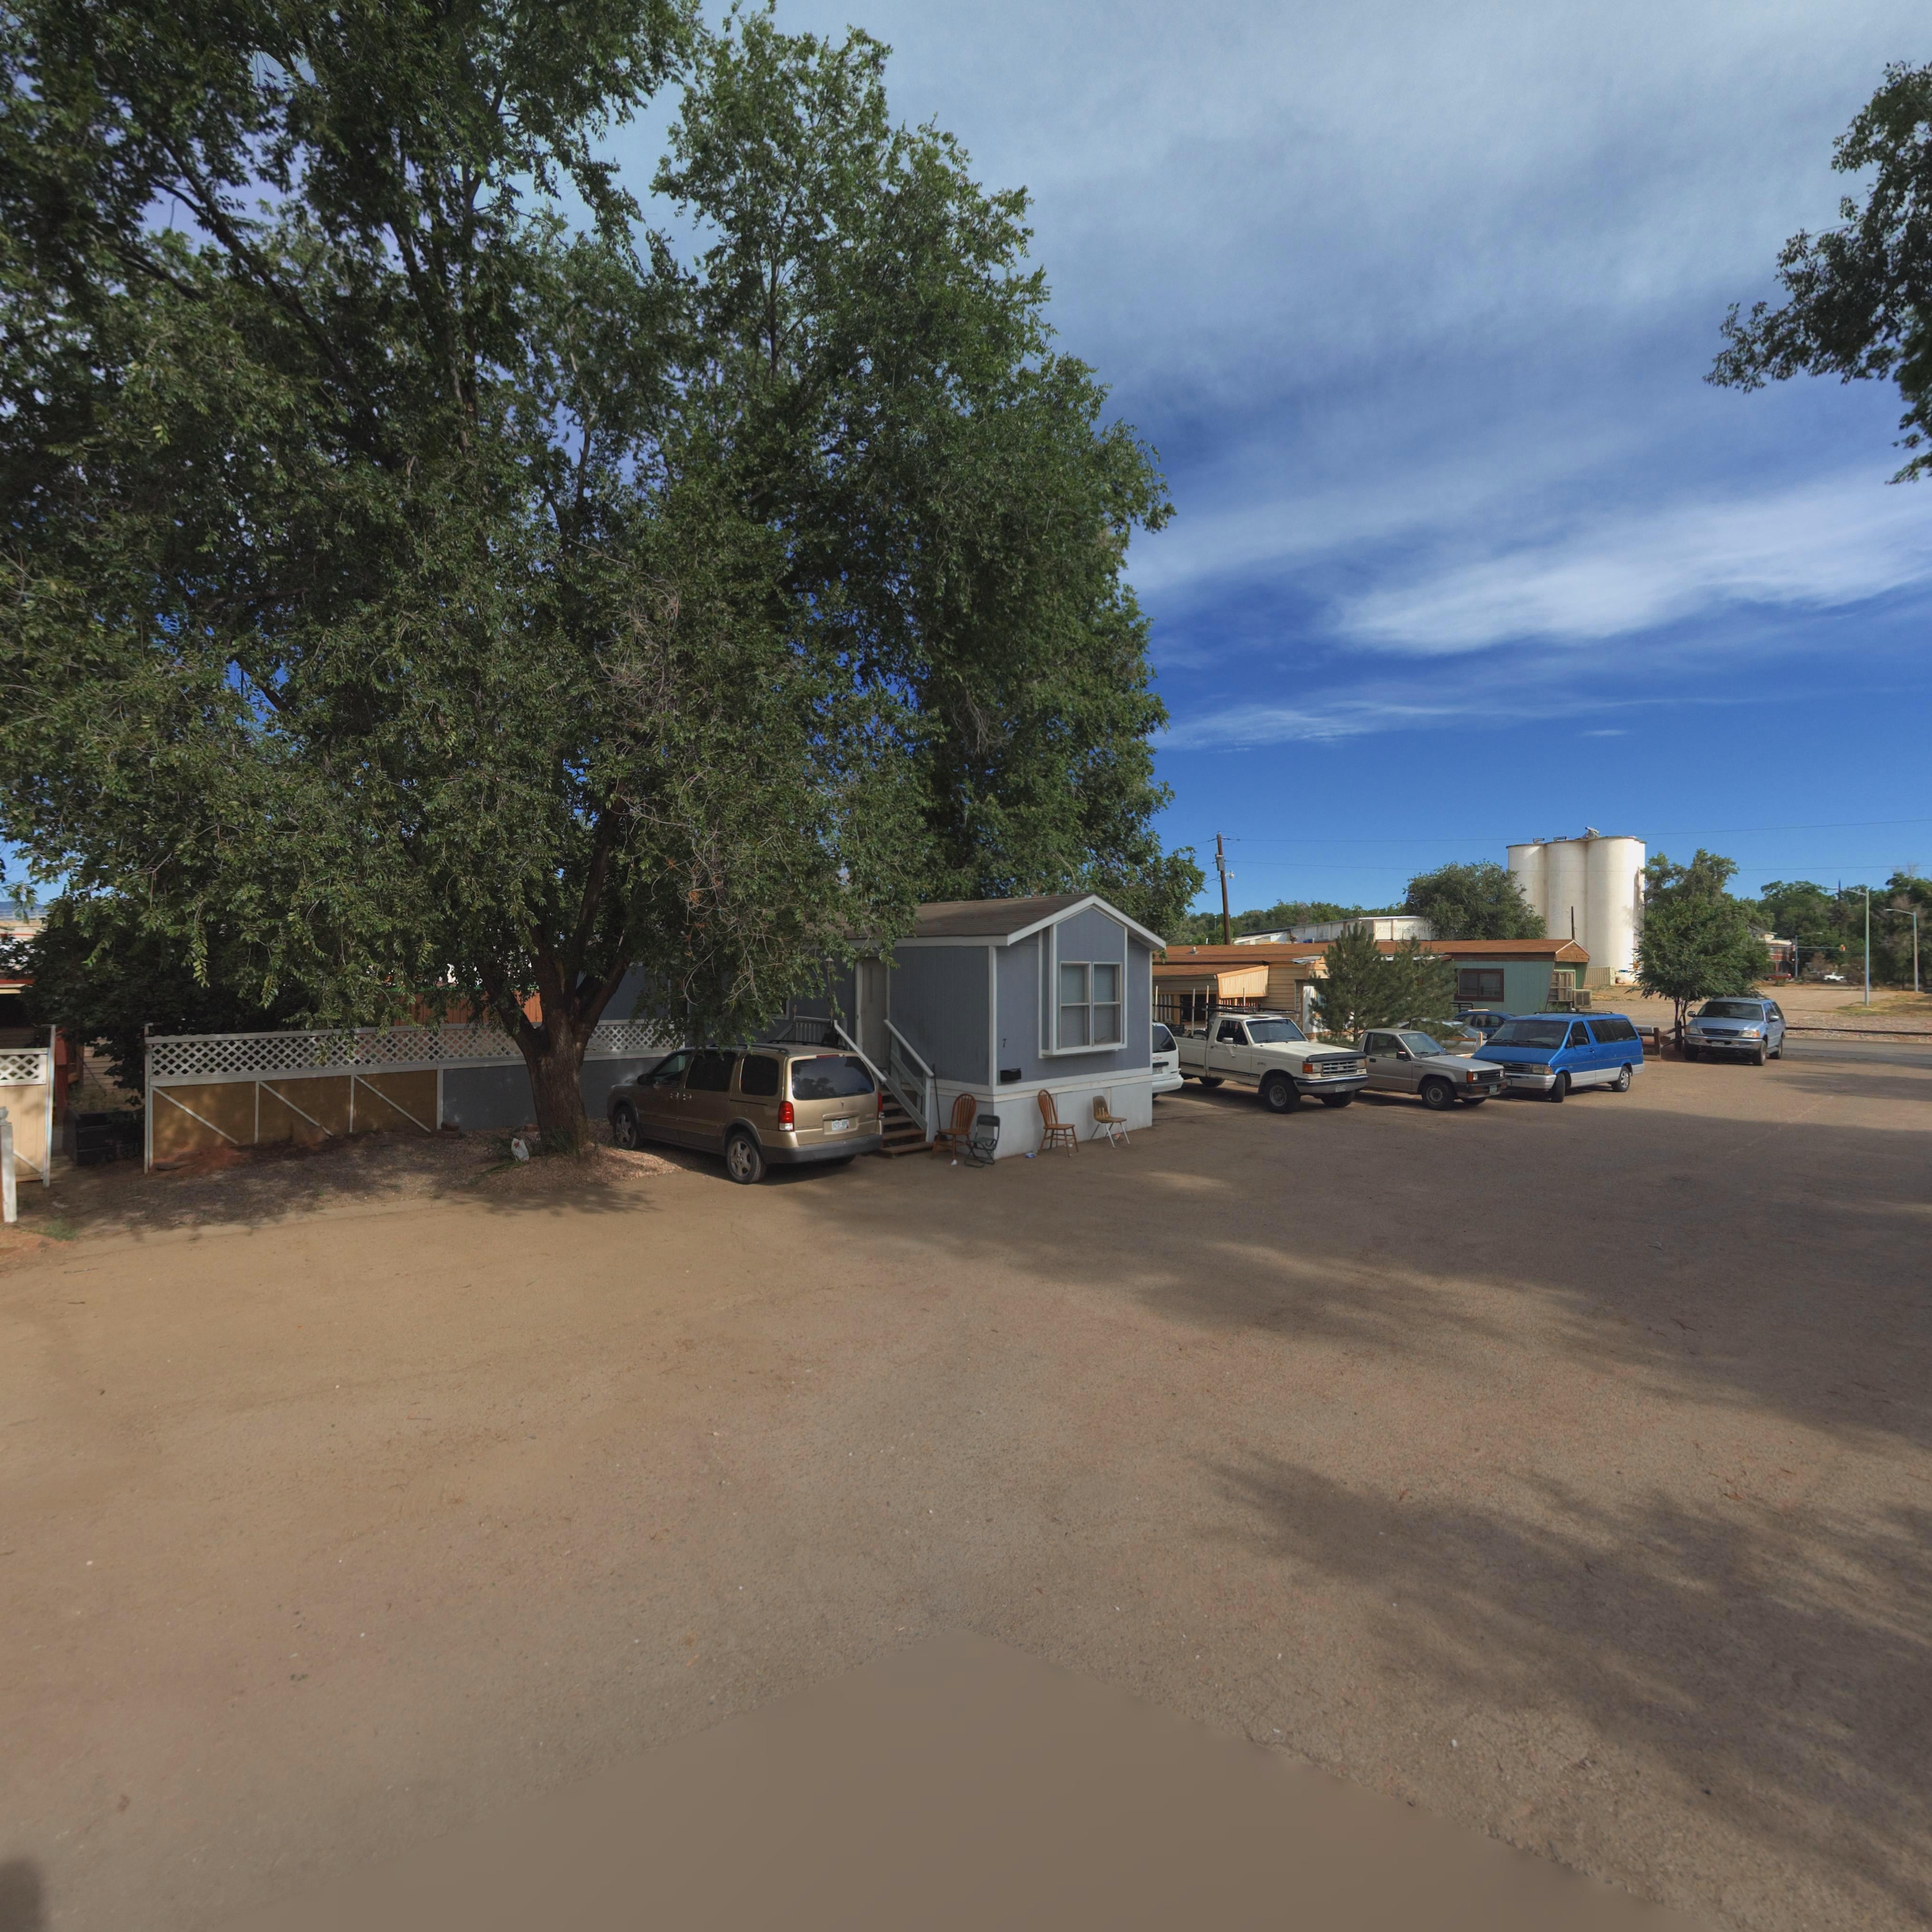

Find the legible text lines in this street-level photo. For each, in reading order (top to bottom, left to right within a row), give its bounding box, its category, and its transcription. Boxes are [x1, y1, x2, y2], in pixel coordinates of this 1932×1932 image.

[1001, 1038, 1008, 1047] StreetNumber: 7